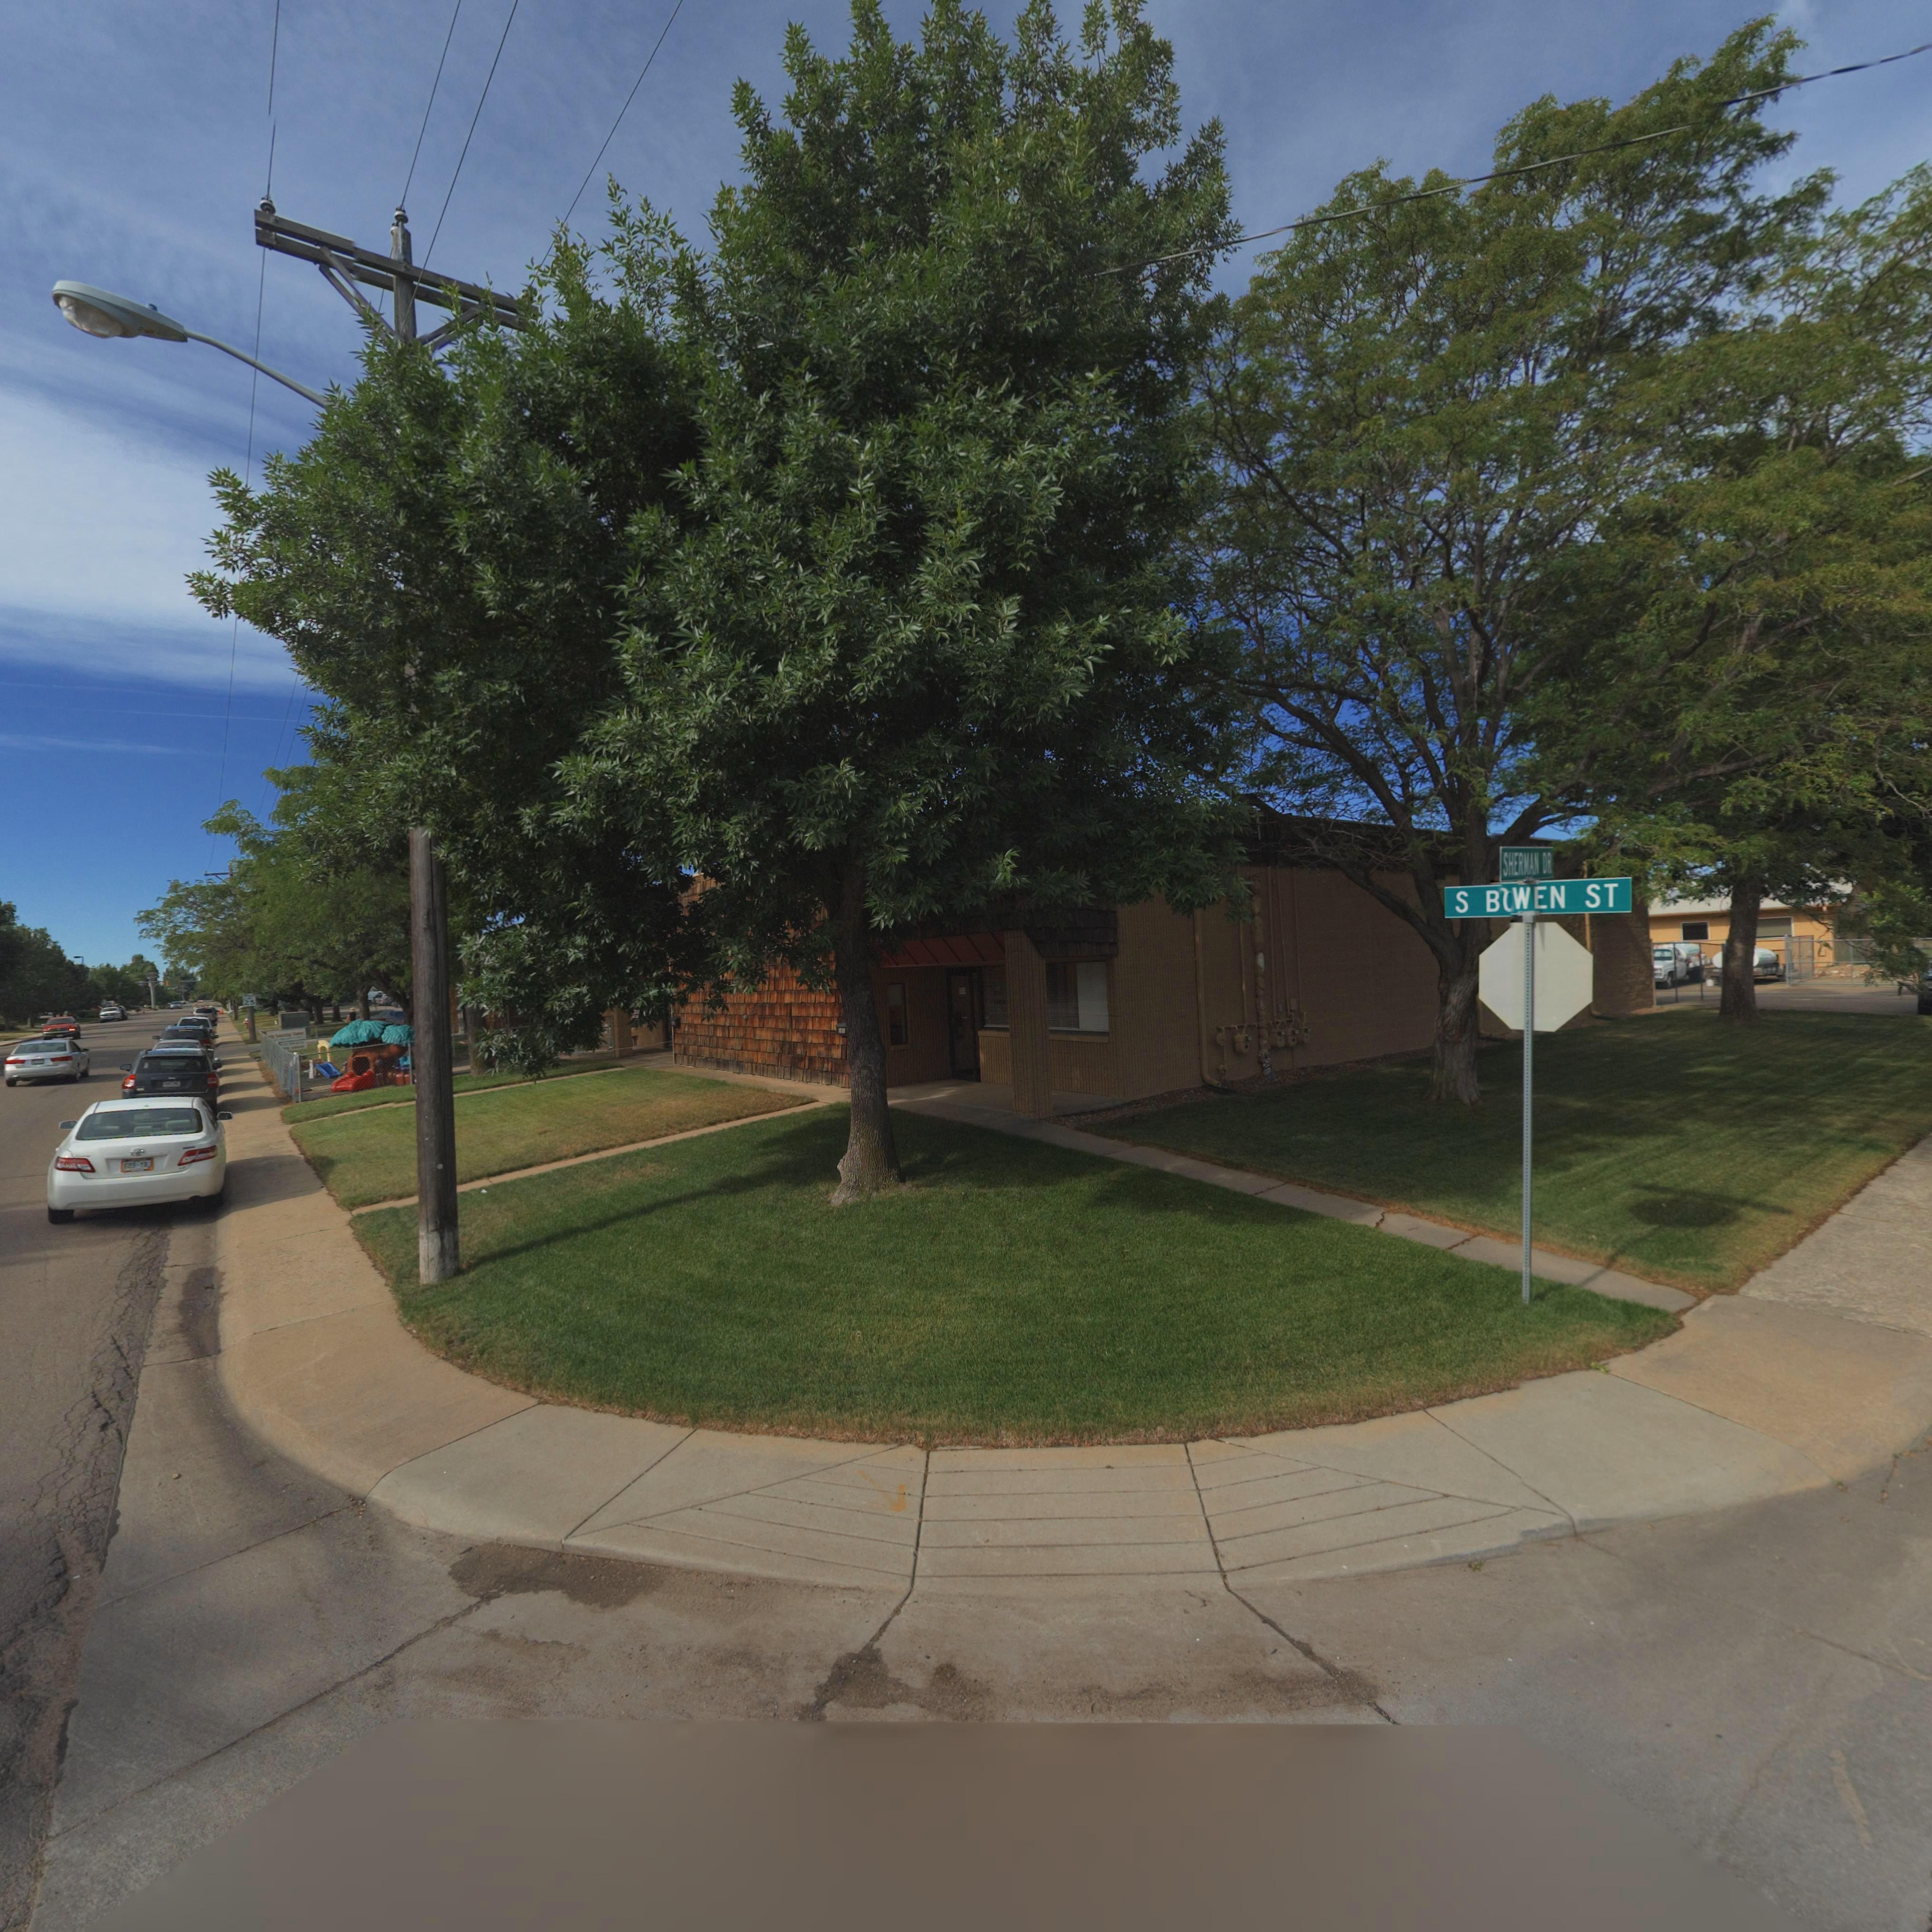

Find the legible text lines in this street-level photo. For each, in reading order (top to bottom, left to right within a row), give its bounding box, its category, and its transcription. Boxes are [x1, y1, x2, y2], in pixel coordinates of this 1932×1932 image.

[1502, 850, 1553, 878] StreetName: SHERMAN DR
[1455, 883, 1618, 913] StreetName: S B*WEN ST